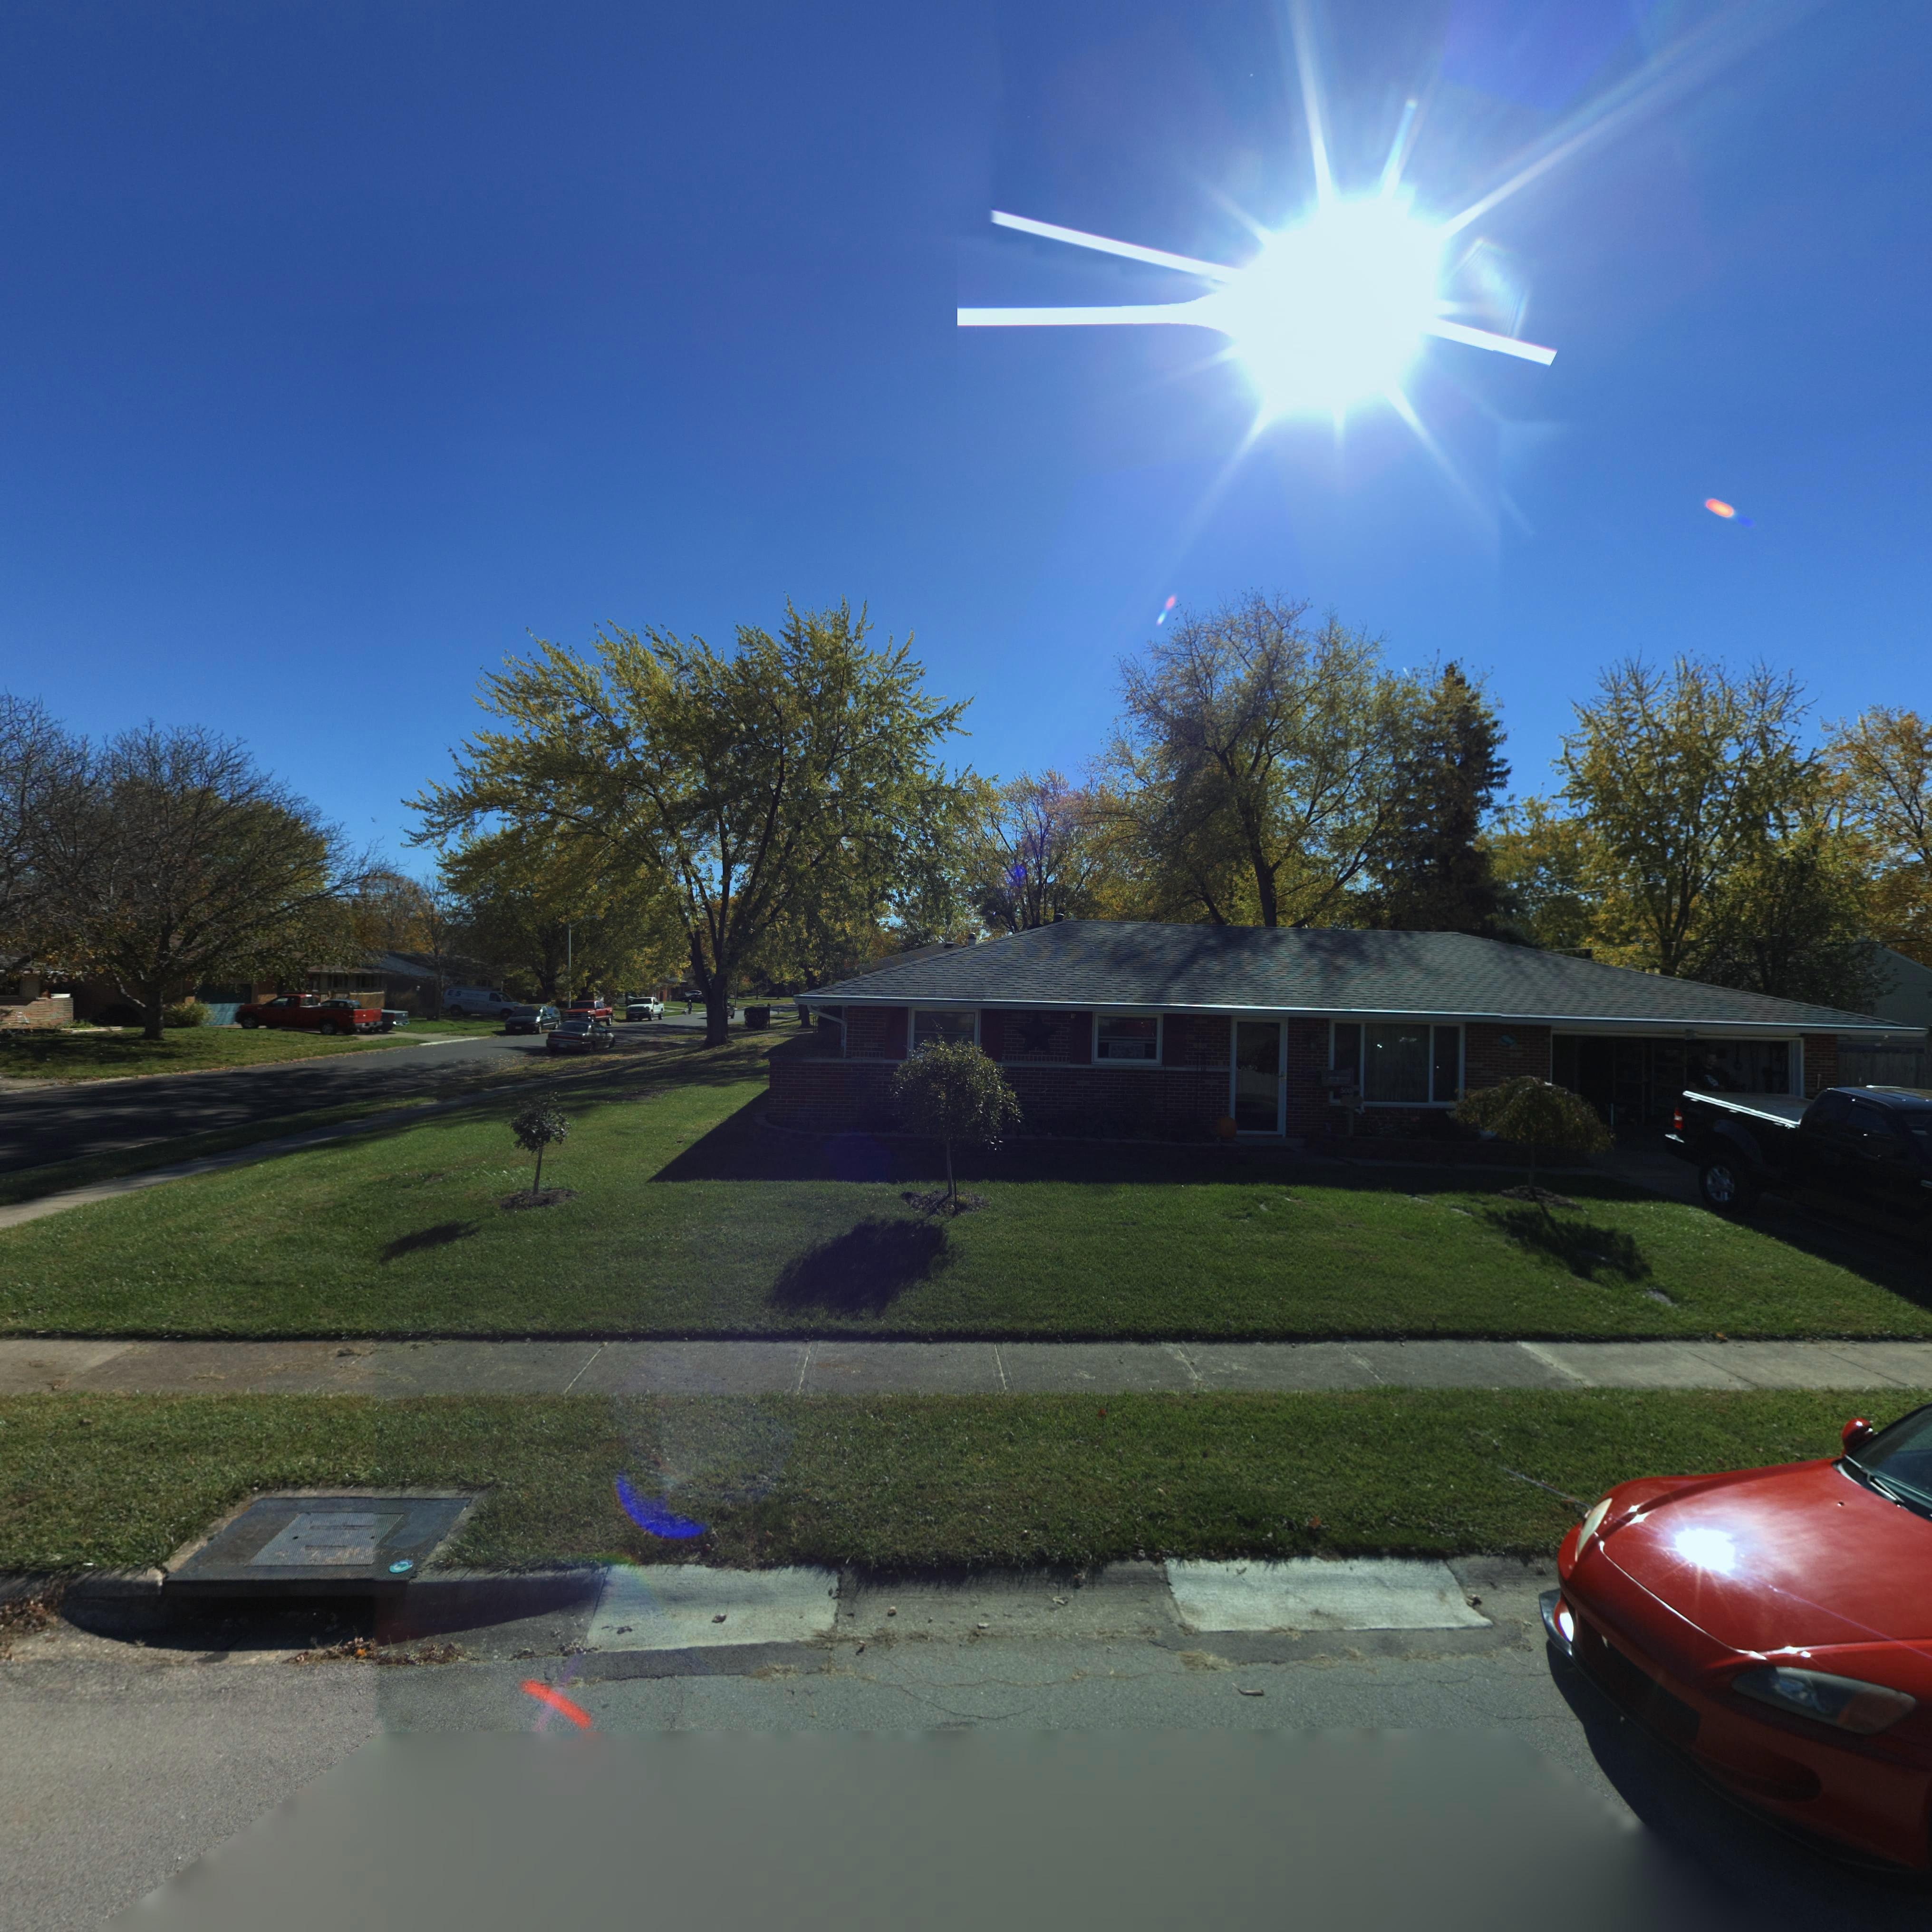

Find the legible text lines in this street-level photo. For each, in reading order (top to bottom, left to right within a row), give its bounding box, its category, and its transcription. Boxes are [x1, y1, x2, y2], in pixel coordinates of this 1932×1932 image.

[1340, 1087, 1352, 1094] StreetNumber: 500